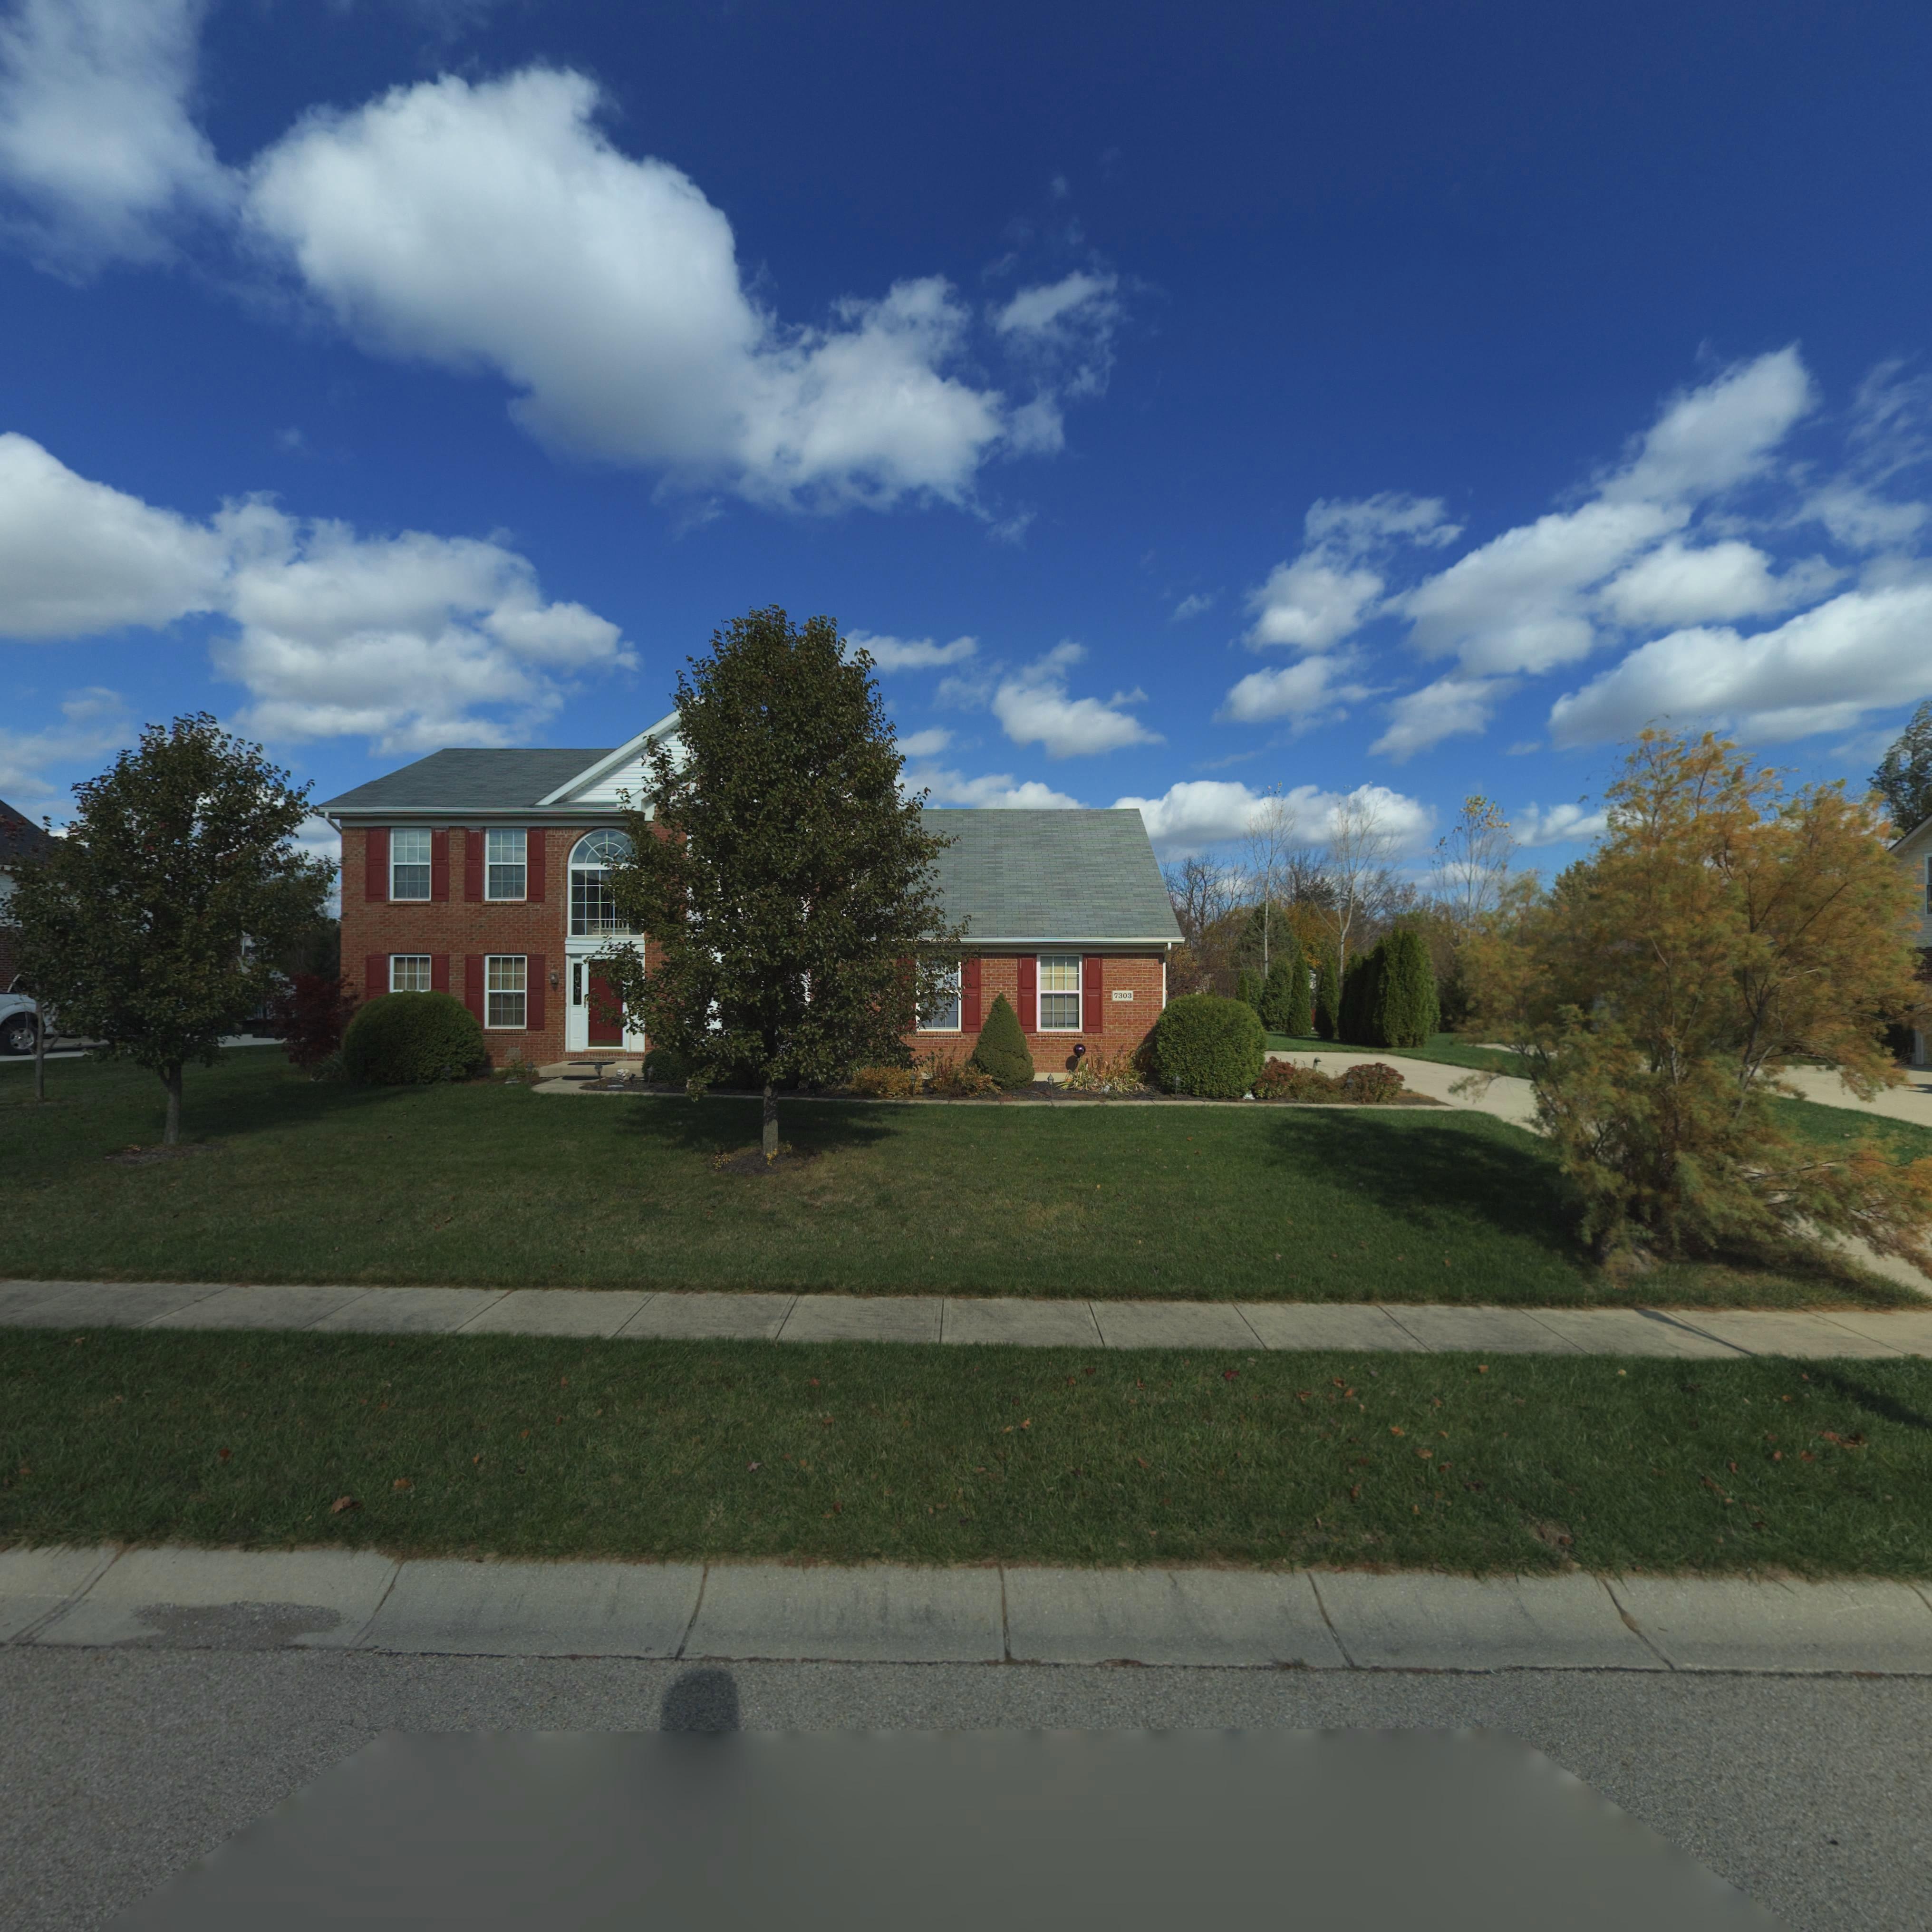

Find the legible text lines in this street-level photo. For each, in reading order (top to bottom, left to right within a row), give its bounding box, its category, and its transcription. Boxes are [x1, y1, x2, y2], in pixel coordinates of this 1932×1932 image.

[1113, 992, 1132, 999] StreetNumber: 7303